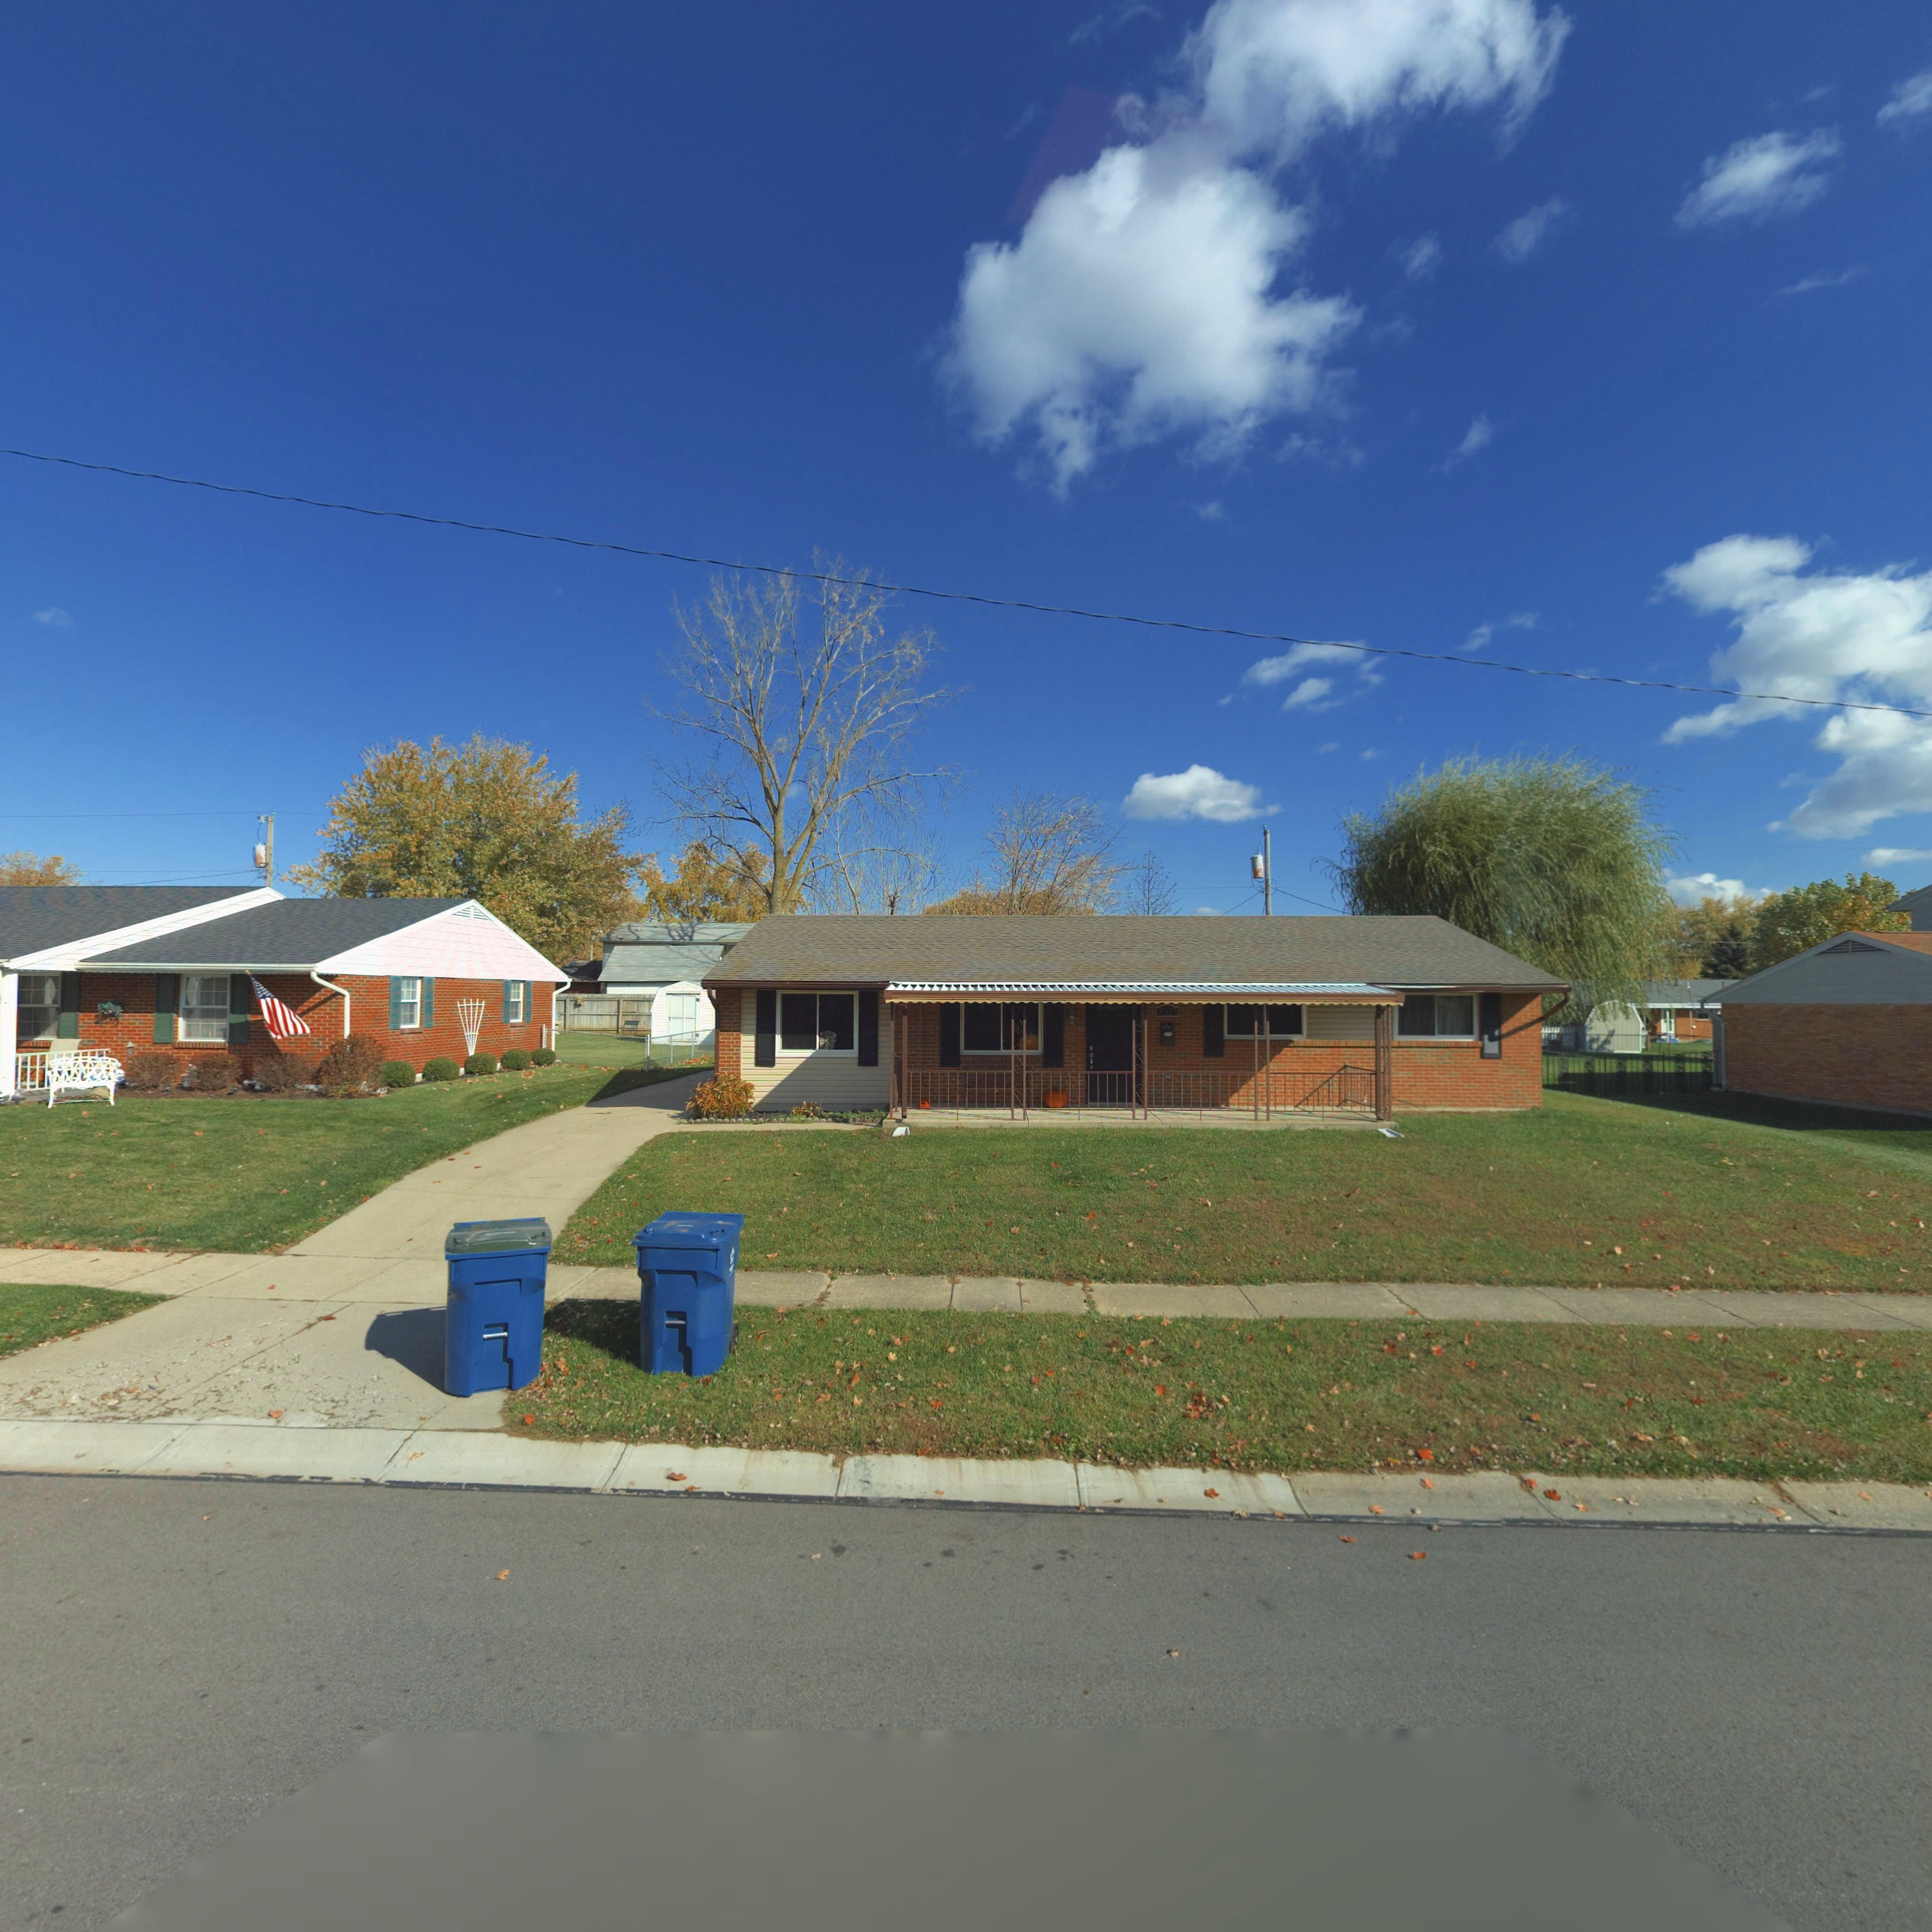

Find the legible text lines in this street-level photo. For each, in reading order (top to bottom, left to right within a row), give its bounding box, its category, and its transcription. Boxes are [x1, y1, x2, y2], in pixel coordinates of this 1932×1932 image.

[1158, 1006, 1177, 1016] StreetNumber: 7321